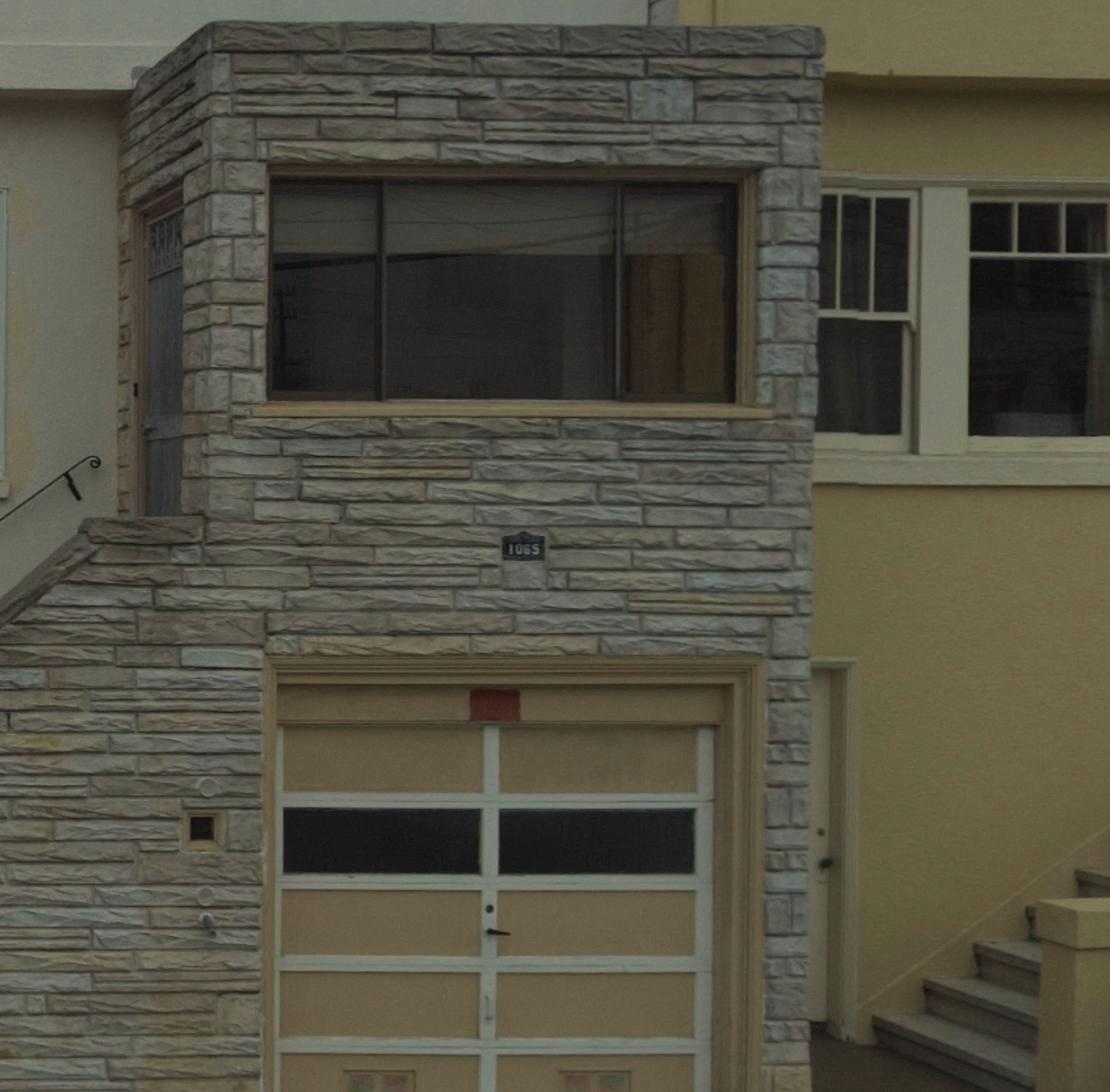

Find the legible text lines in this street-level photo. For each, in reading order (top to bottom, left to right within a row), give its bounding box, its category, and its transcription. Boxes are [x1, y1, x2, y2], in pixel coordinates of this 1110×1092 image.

[507, 542, 541, 557] StreetNumber: 1065